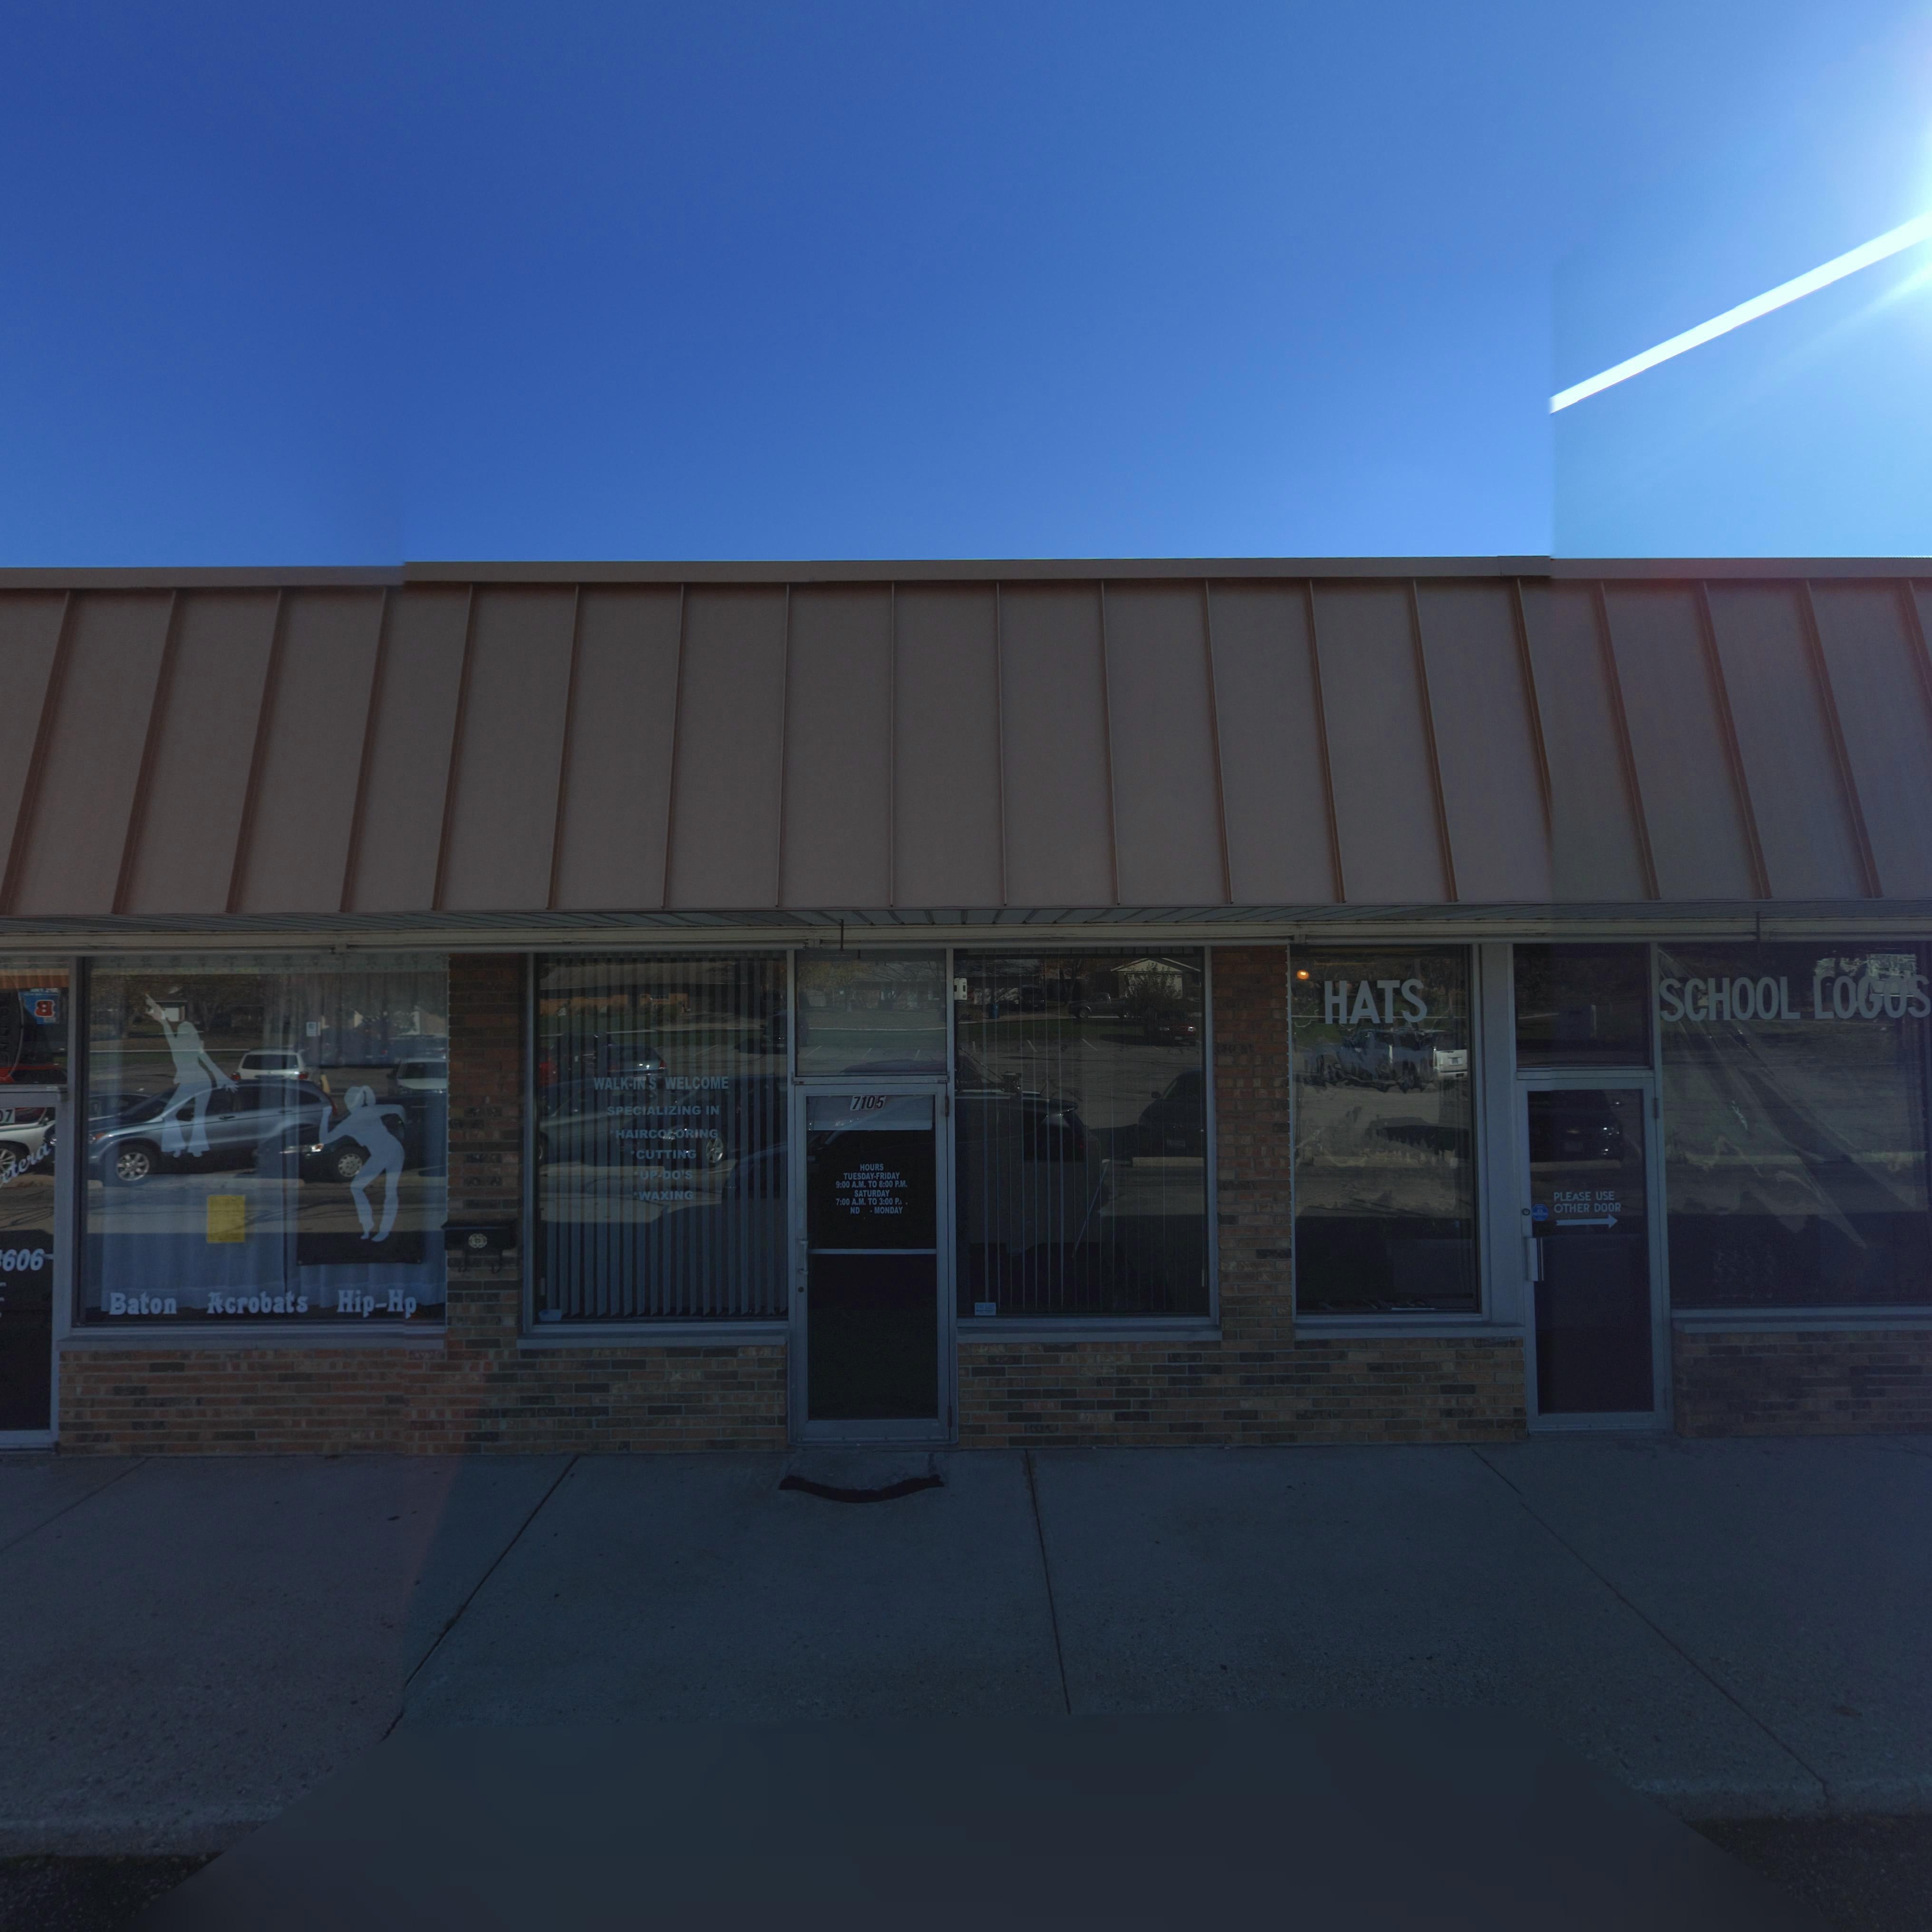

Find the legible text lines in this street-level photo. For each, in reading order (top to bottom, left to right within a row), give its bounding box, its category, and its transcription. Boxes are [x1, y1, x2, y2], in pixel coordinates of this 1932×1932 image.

[851, 1094, 887, 1111] StreetNumber: 7105
[4, 1109, 14, 1123] StreetNumber: 7
[1, 1141, 53, 1185] BusinessName: etera